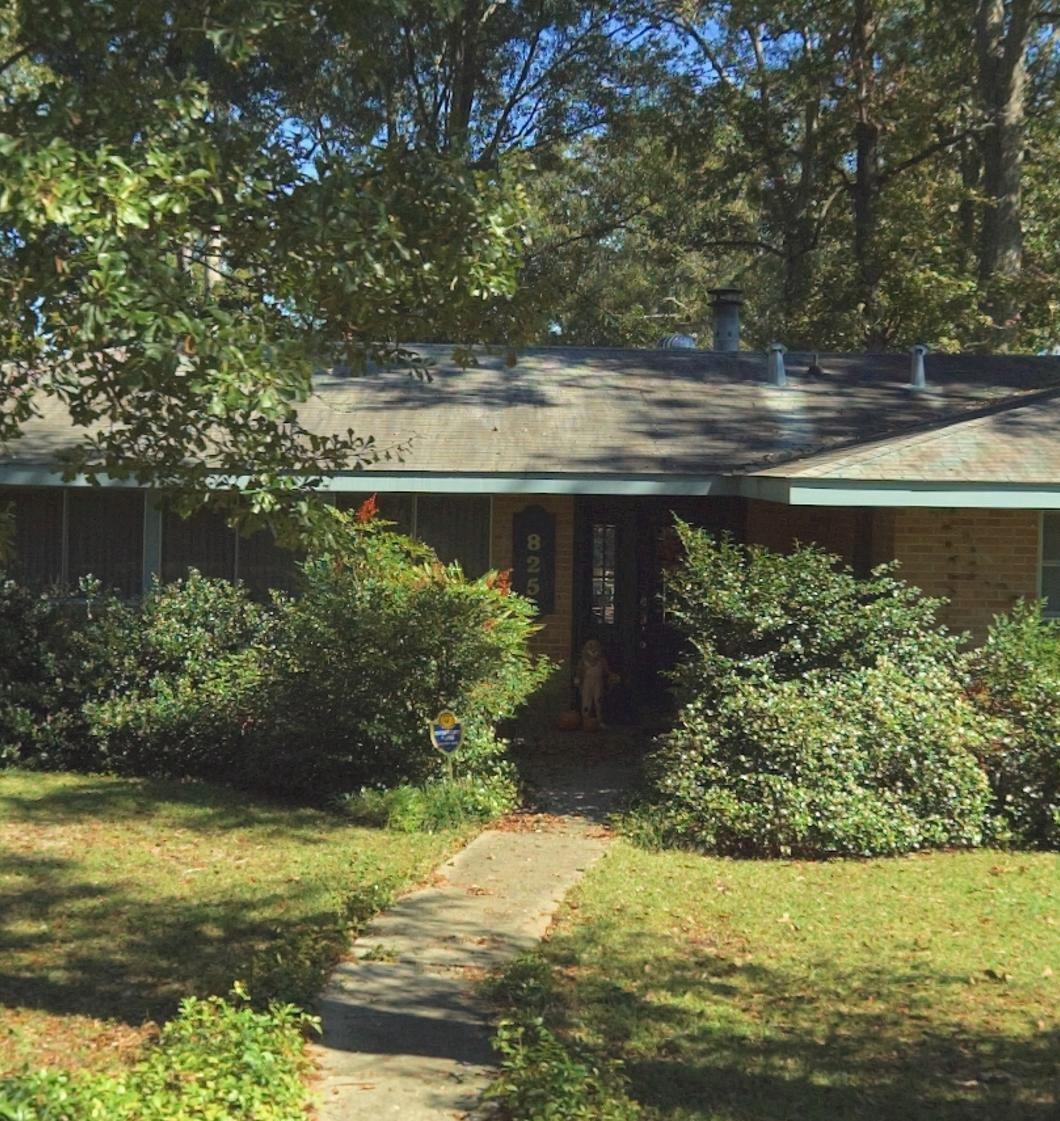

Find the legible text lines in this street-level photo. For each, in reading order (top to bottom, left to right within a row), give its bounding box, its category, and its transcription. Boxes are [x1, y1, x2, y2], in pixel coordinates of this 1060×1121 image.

[524, 532, 543, 597] StreetNumber: 825